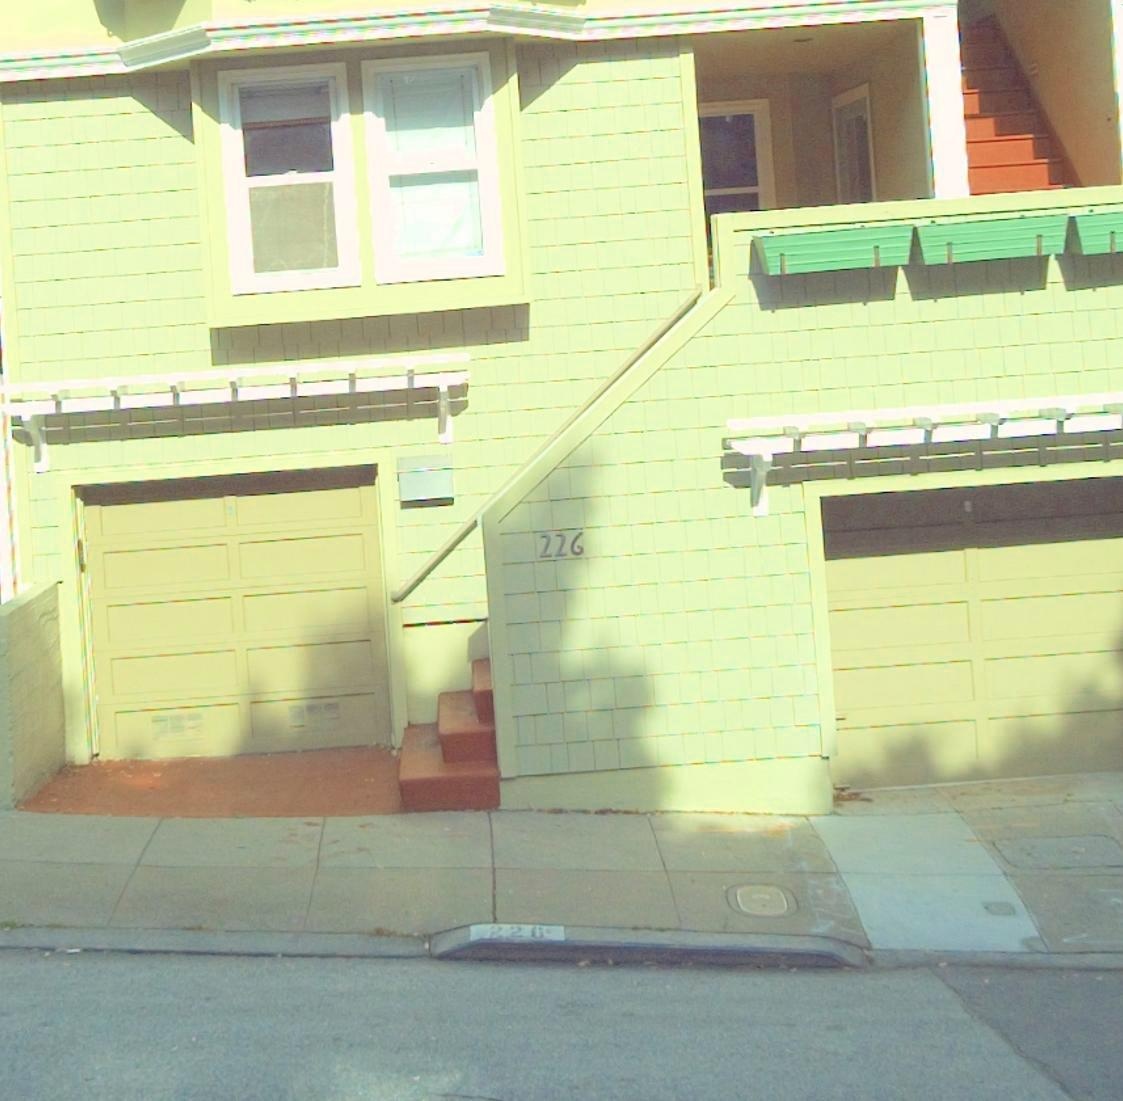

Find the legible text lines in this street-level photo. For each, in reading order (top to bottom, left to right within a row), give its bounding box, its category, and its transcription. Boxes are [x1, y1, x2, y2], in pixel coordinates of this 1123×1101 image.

[536, 531, 587, 559] StreetNumber: 226
[489, 924, 545, 940] StreetNumber: 226